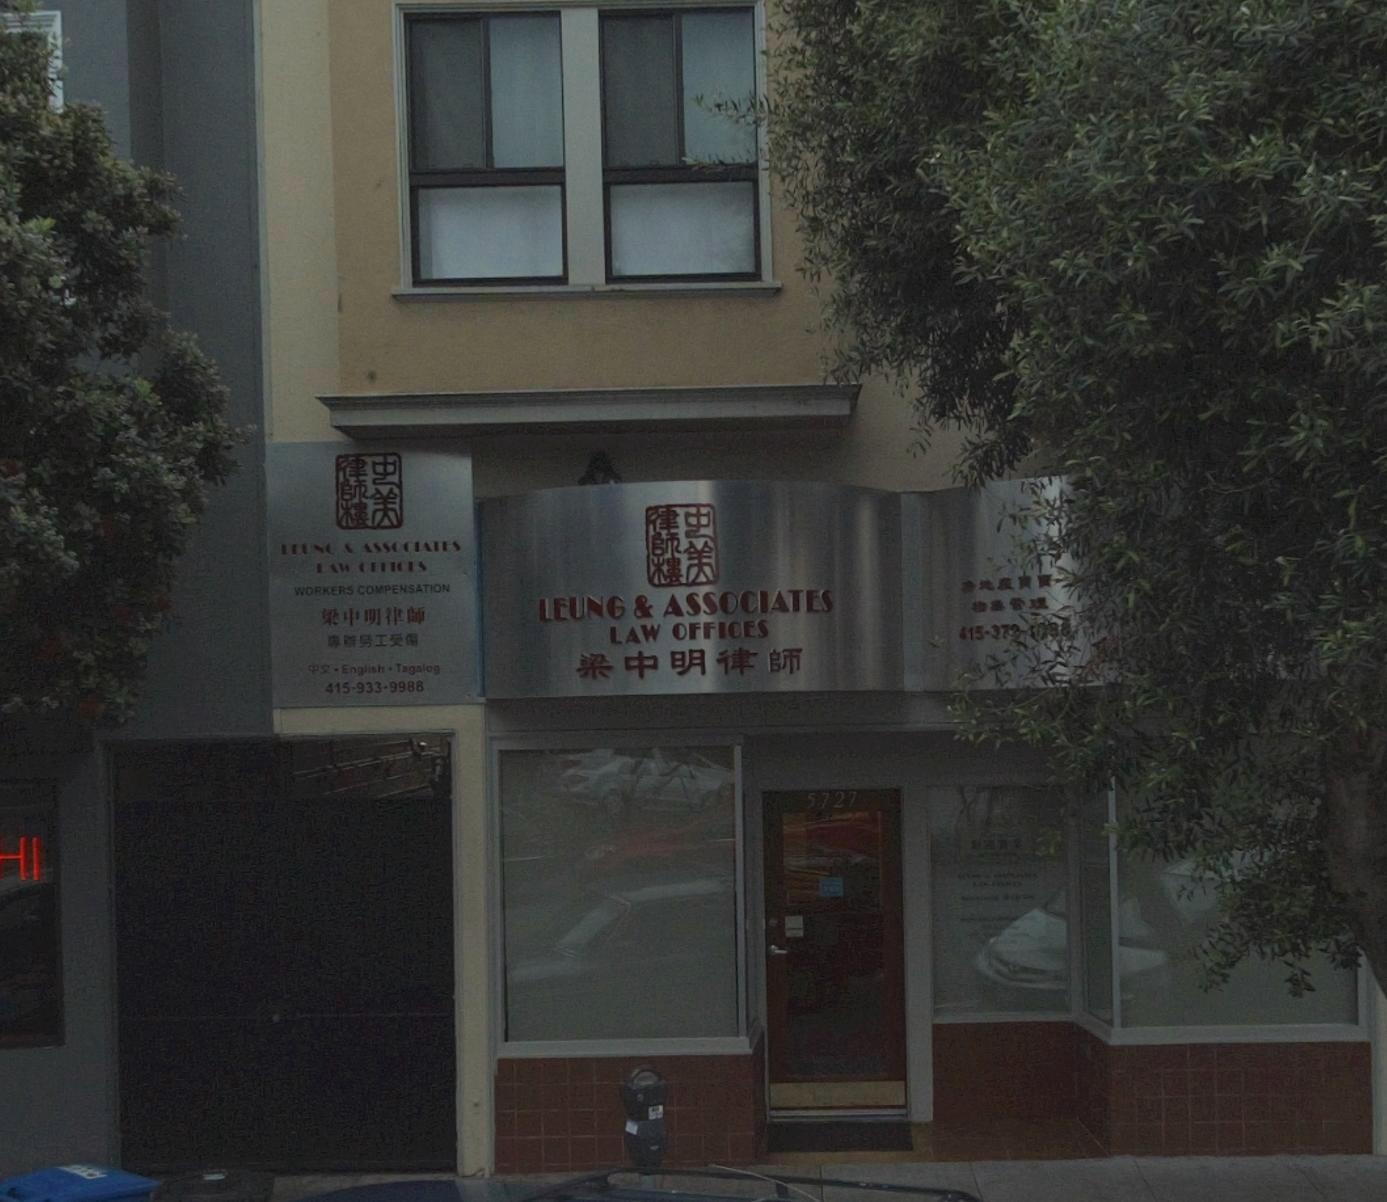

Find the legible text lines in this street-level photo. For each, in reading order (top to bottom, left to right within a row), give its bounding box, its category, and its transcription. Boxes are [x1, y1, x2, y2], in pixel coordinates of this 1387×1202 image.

[357, 537, 465, 556] BusinessName: ASS*CIATES
[288, 581, 452, 600] None: WORKERS COMPENSATION
[537, 587, 839, 624] BusinessName: LEUNG & ASSOCIATES
[606, 616, 772, 648] BusinessName: LAW OFFICES
[956, 621, 1013, 644] None: 415-37
[341, 660, 443, 679] None: English * Tagalog
[322, 677, 427, 697] None: 415-933-9988
[802, 788, 860, 812] StreetNumber: 5727
[30, 834, 42, 883] None: I